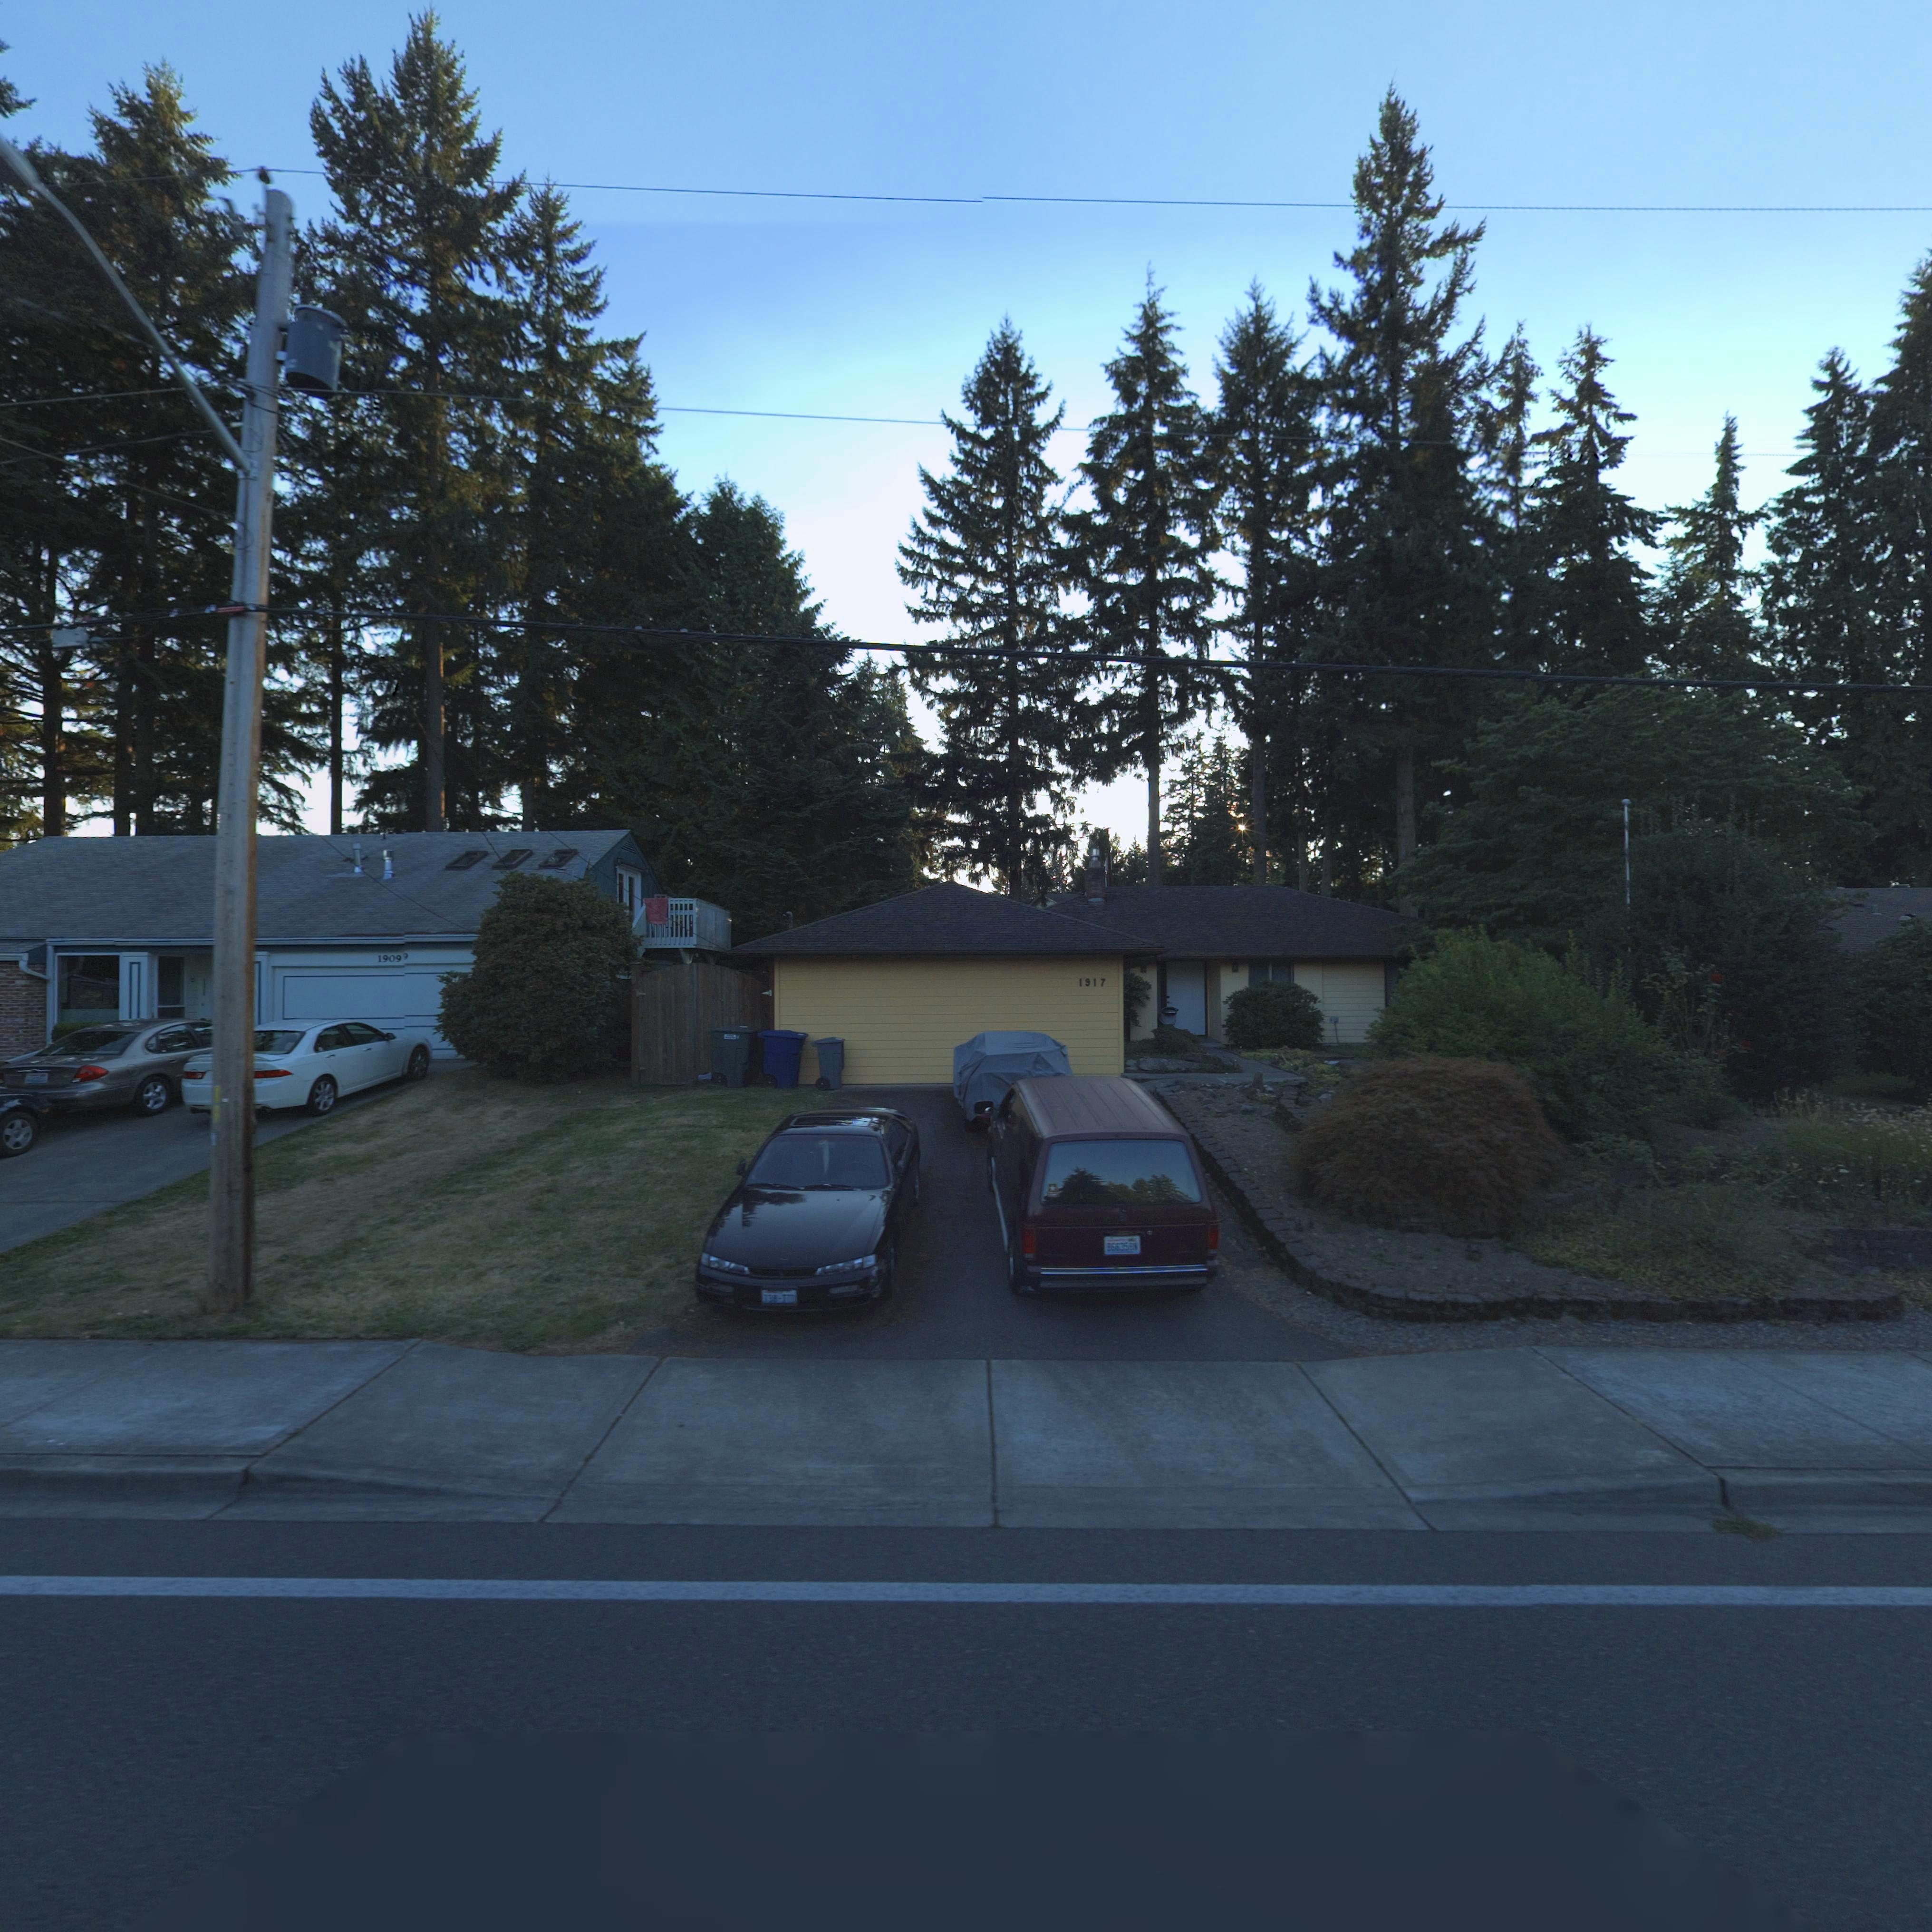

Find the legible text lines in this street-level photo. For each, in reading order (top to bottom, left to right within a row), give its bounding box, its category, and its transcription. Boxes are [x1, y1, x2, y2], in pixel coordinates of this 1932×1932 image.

[378, 955, 401, 962] StreetNumber: 1909
[1079, 978, 1105, 986] StreetNumber: 1917